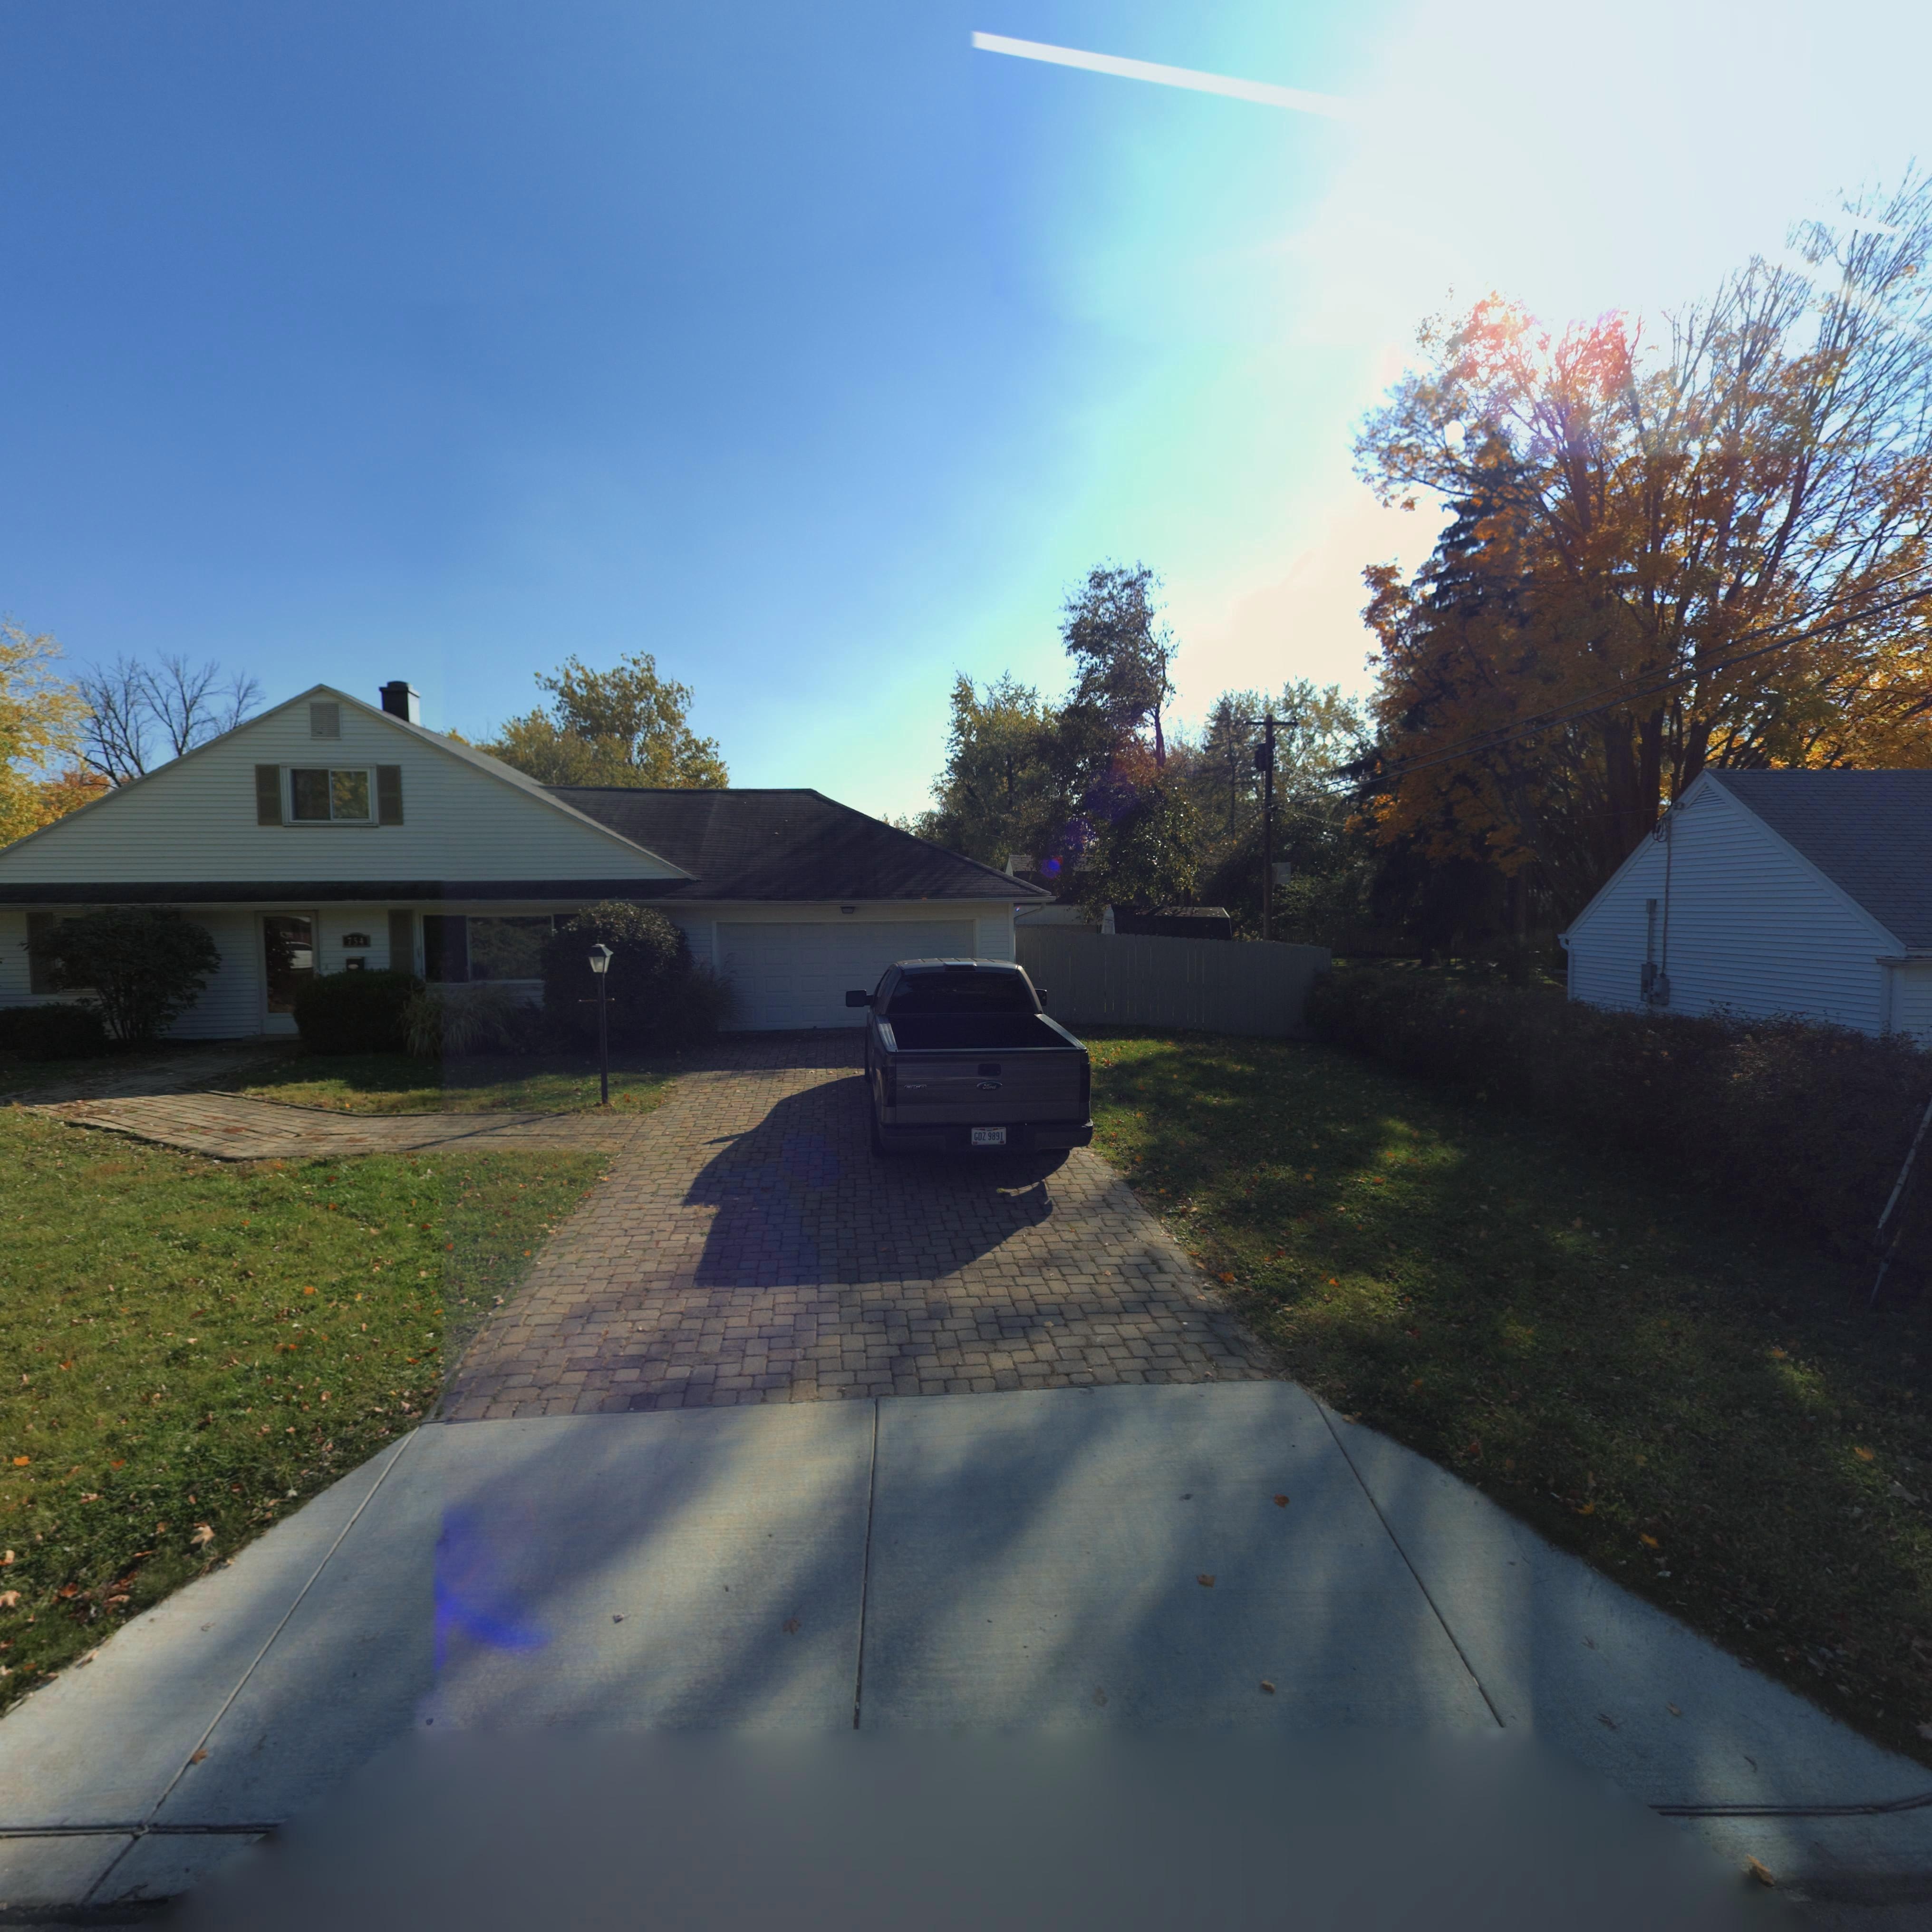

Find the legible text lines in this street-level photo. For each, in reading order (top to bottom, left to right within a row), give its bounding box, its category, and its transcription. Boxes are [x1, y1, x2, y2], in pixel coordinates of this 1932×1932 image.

[346, 937, 365, 946] StreetNumber: 754
[903, 1084, 927, 1091] None: F150
[973, 1131, 1003, 1141] None: GDZ 9891